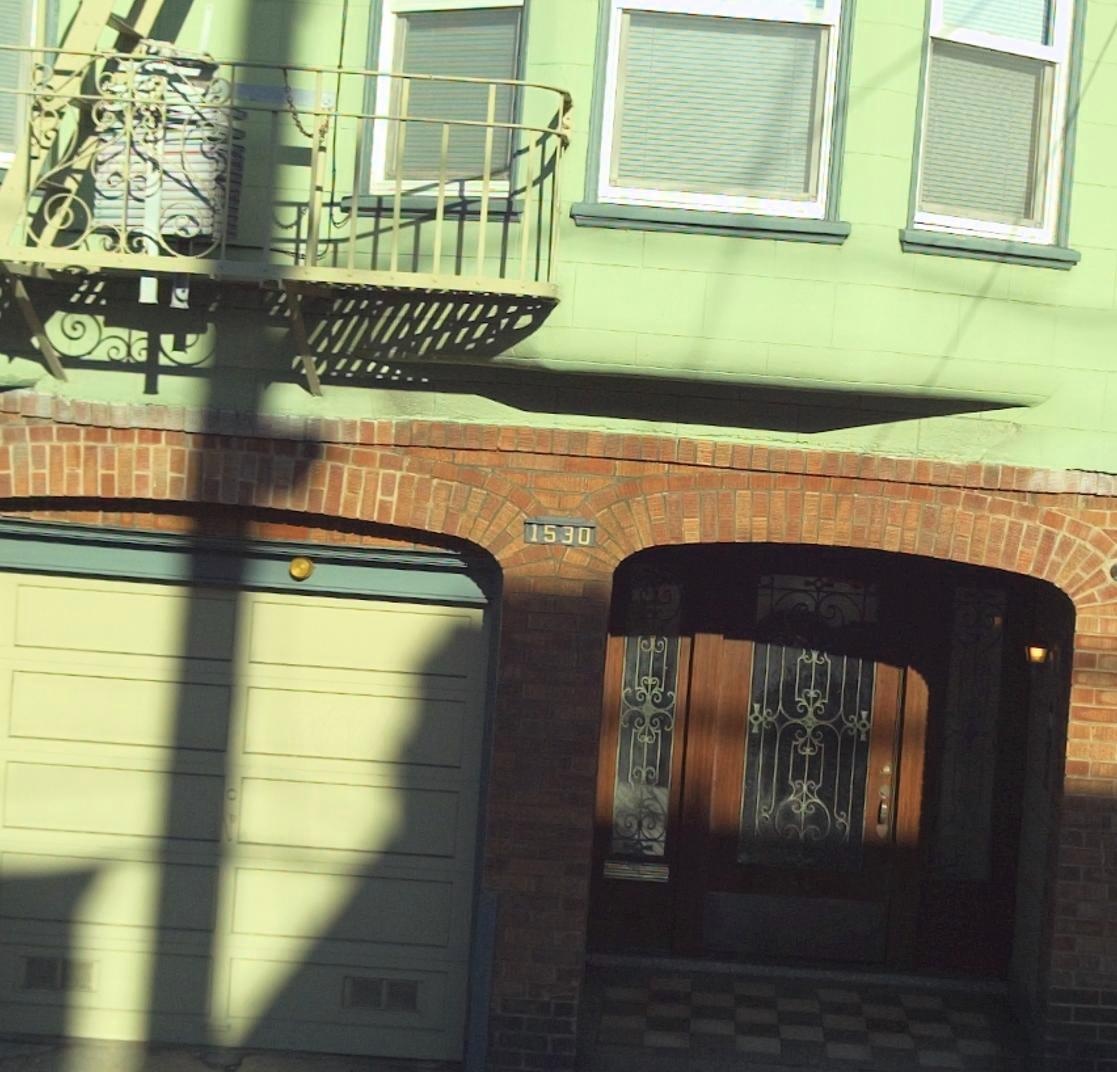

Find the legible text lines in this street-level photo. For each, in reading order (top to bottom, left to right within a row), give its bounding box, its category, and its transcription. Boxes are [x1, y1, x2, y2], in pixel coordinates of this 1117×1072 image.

[528, 521, 592, 547] StreetNumber: 1530